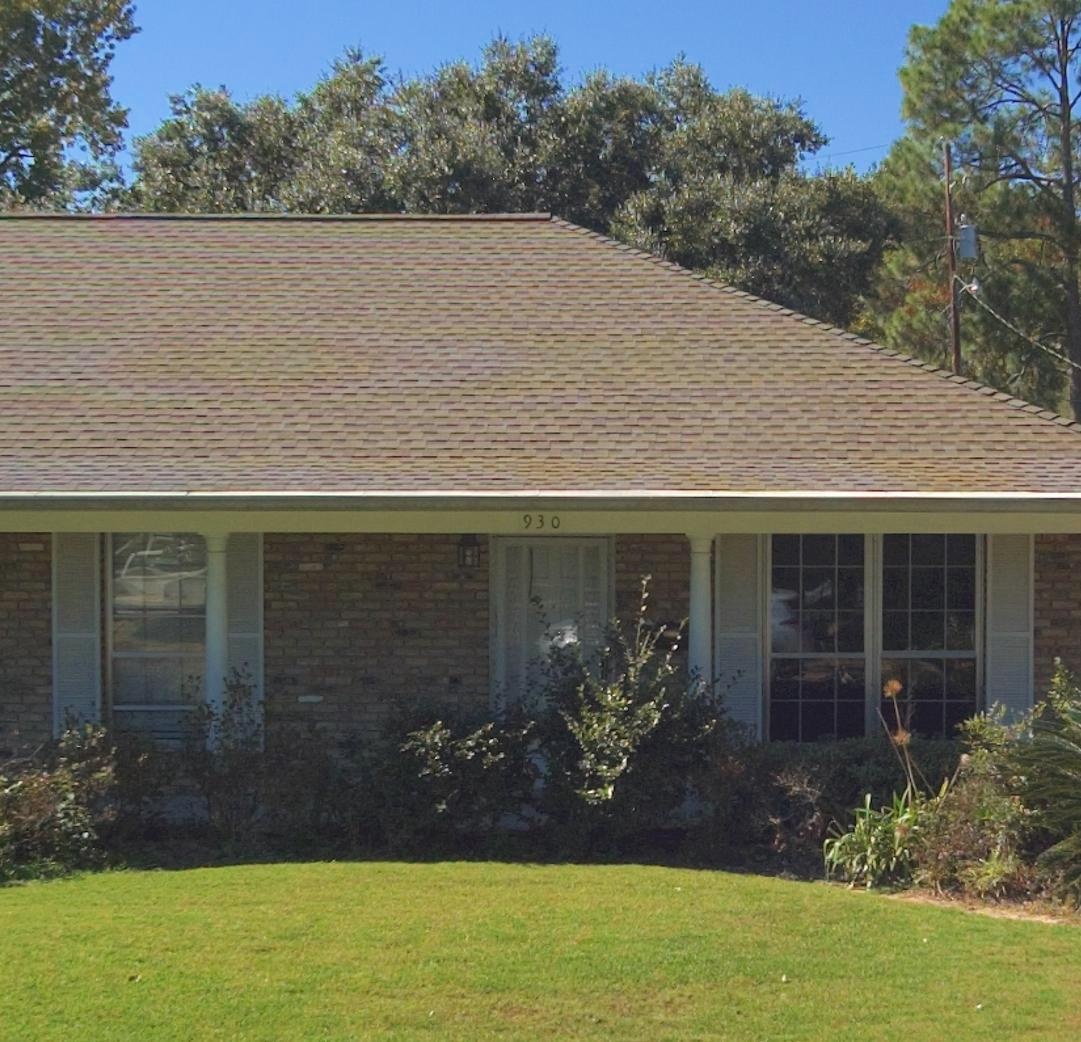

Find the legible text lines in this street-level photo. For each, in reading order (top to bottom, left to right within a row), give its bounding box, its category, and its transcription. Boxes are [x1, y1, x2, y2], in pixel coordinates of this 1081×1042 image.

[521, 513, 563, 532] StreetNumber: 930